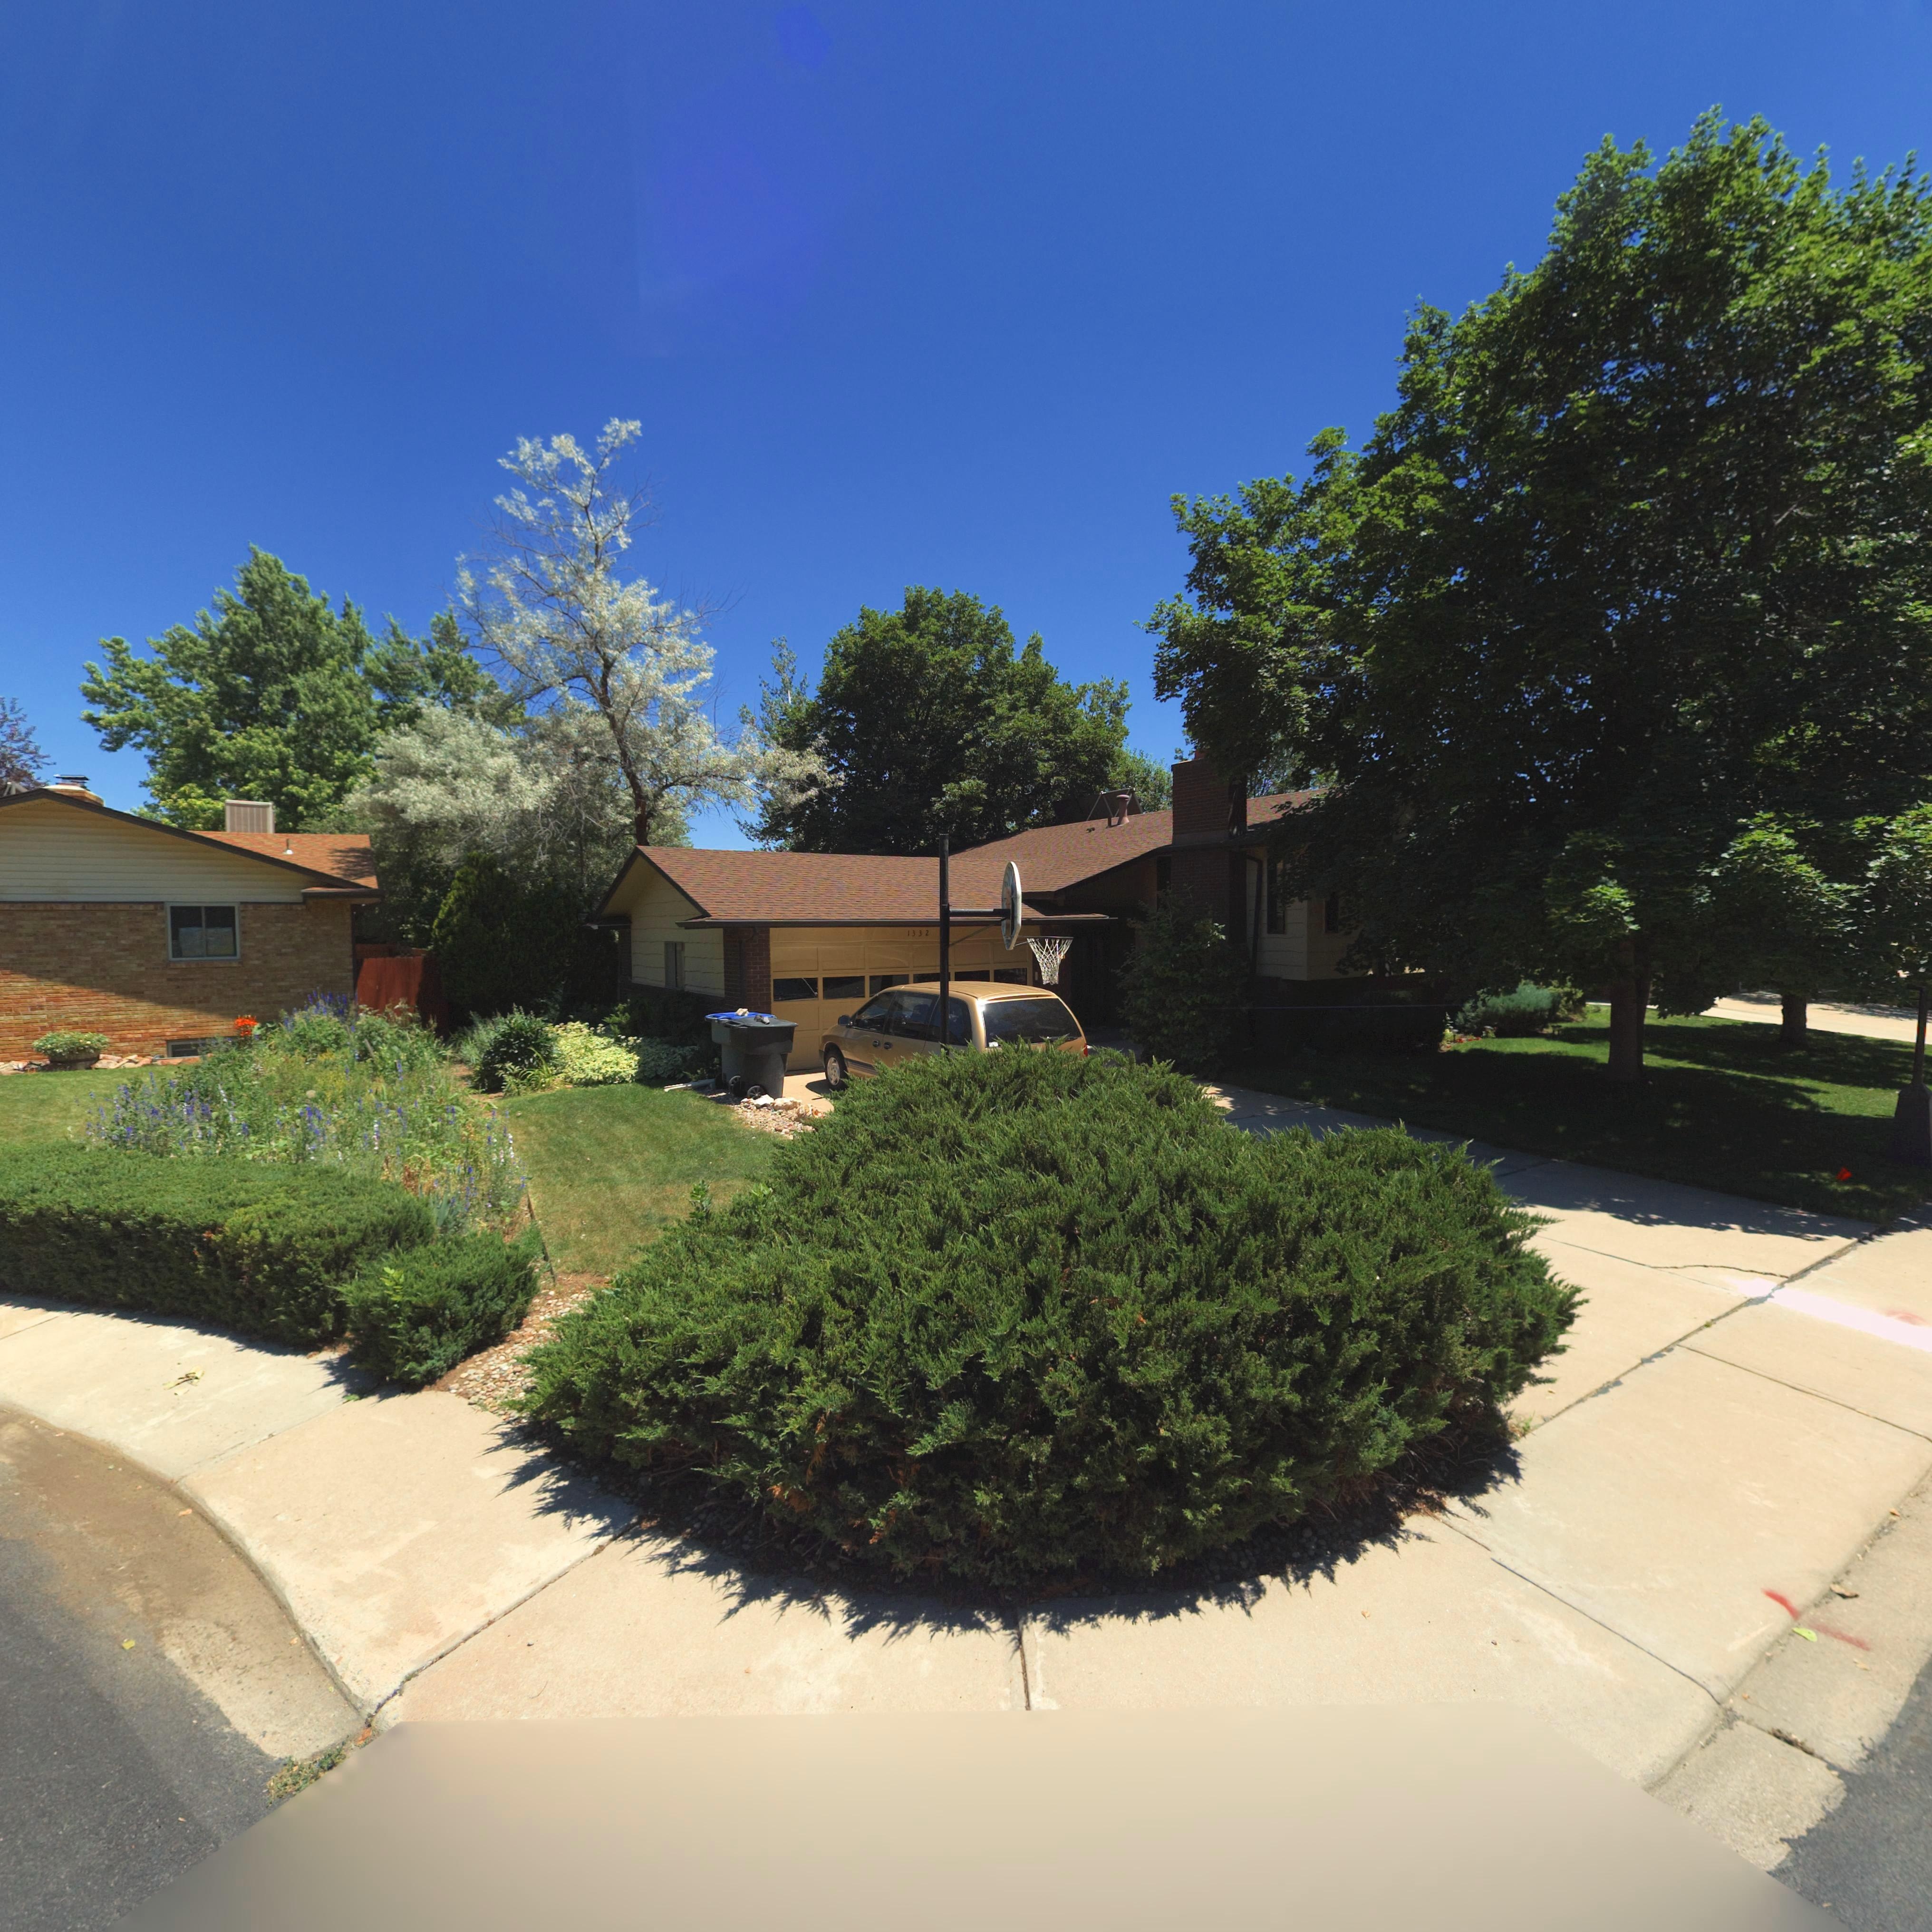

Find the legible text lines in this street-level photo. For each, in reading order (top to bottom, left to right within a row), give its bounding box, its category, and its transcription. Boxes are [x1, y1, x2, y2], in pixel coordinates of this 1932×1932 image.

[907, 928, 928, 937] StreetNumber: 1332